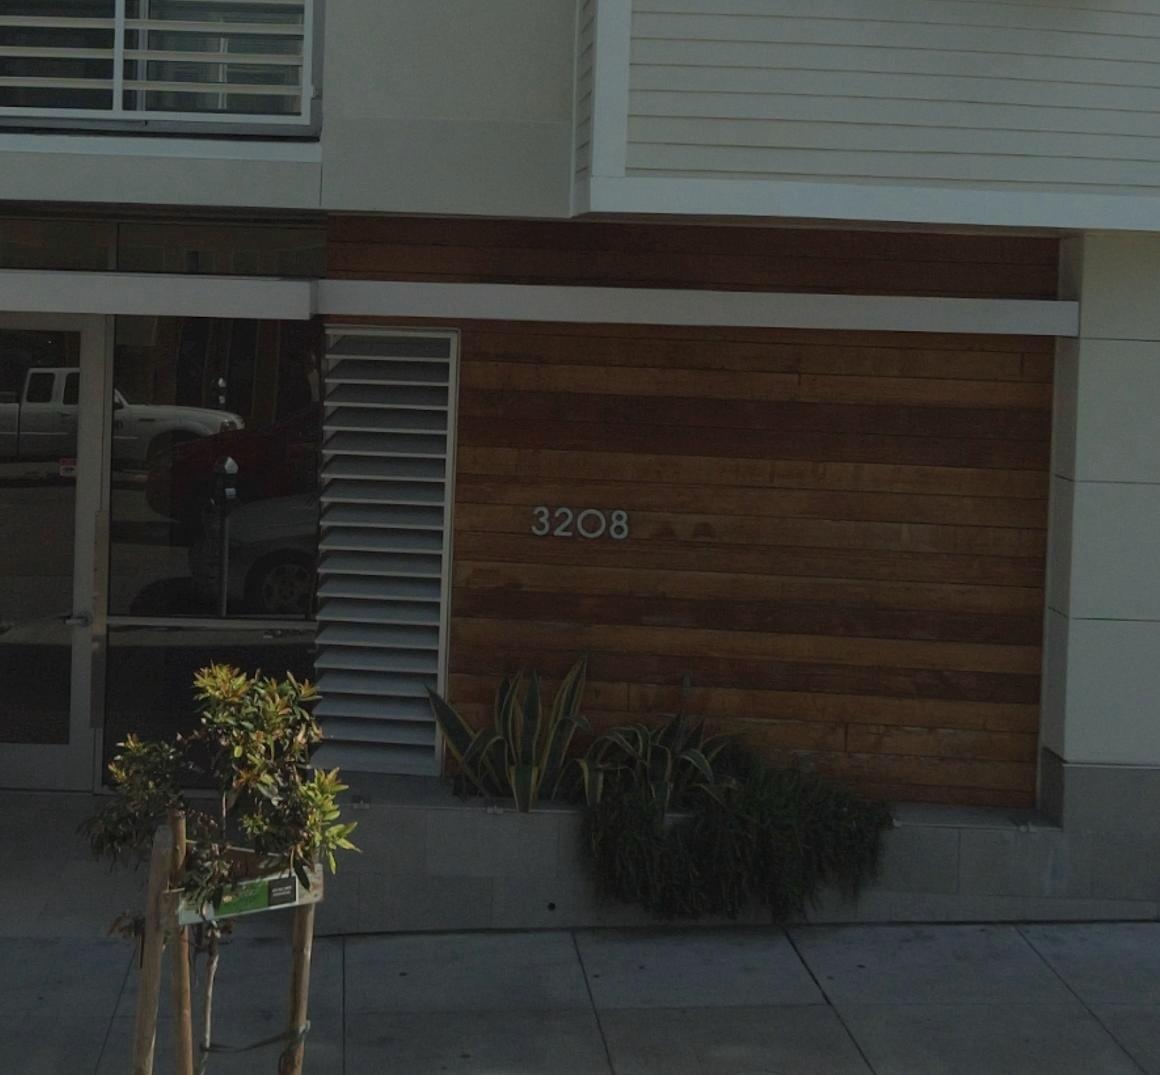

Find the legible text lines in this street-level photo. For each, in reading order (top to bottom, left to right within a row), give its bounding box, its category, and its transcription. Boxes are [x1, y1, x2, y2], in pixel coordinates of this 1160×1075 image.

[529, 504, 631, 541] StreetNumber: 3208